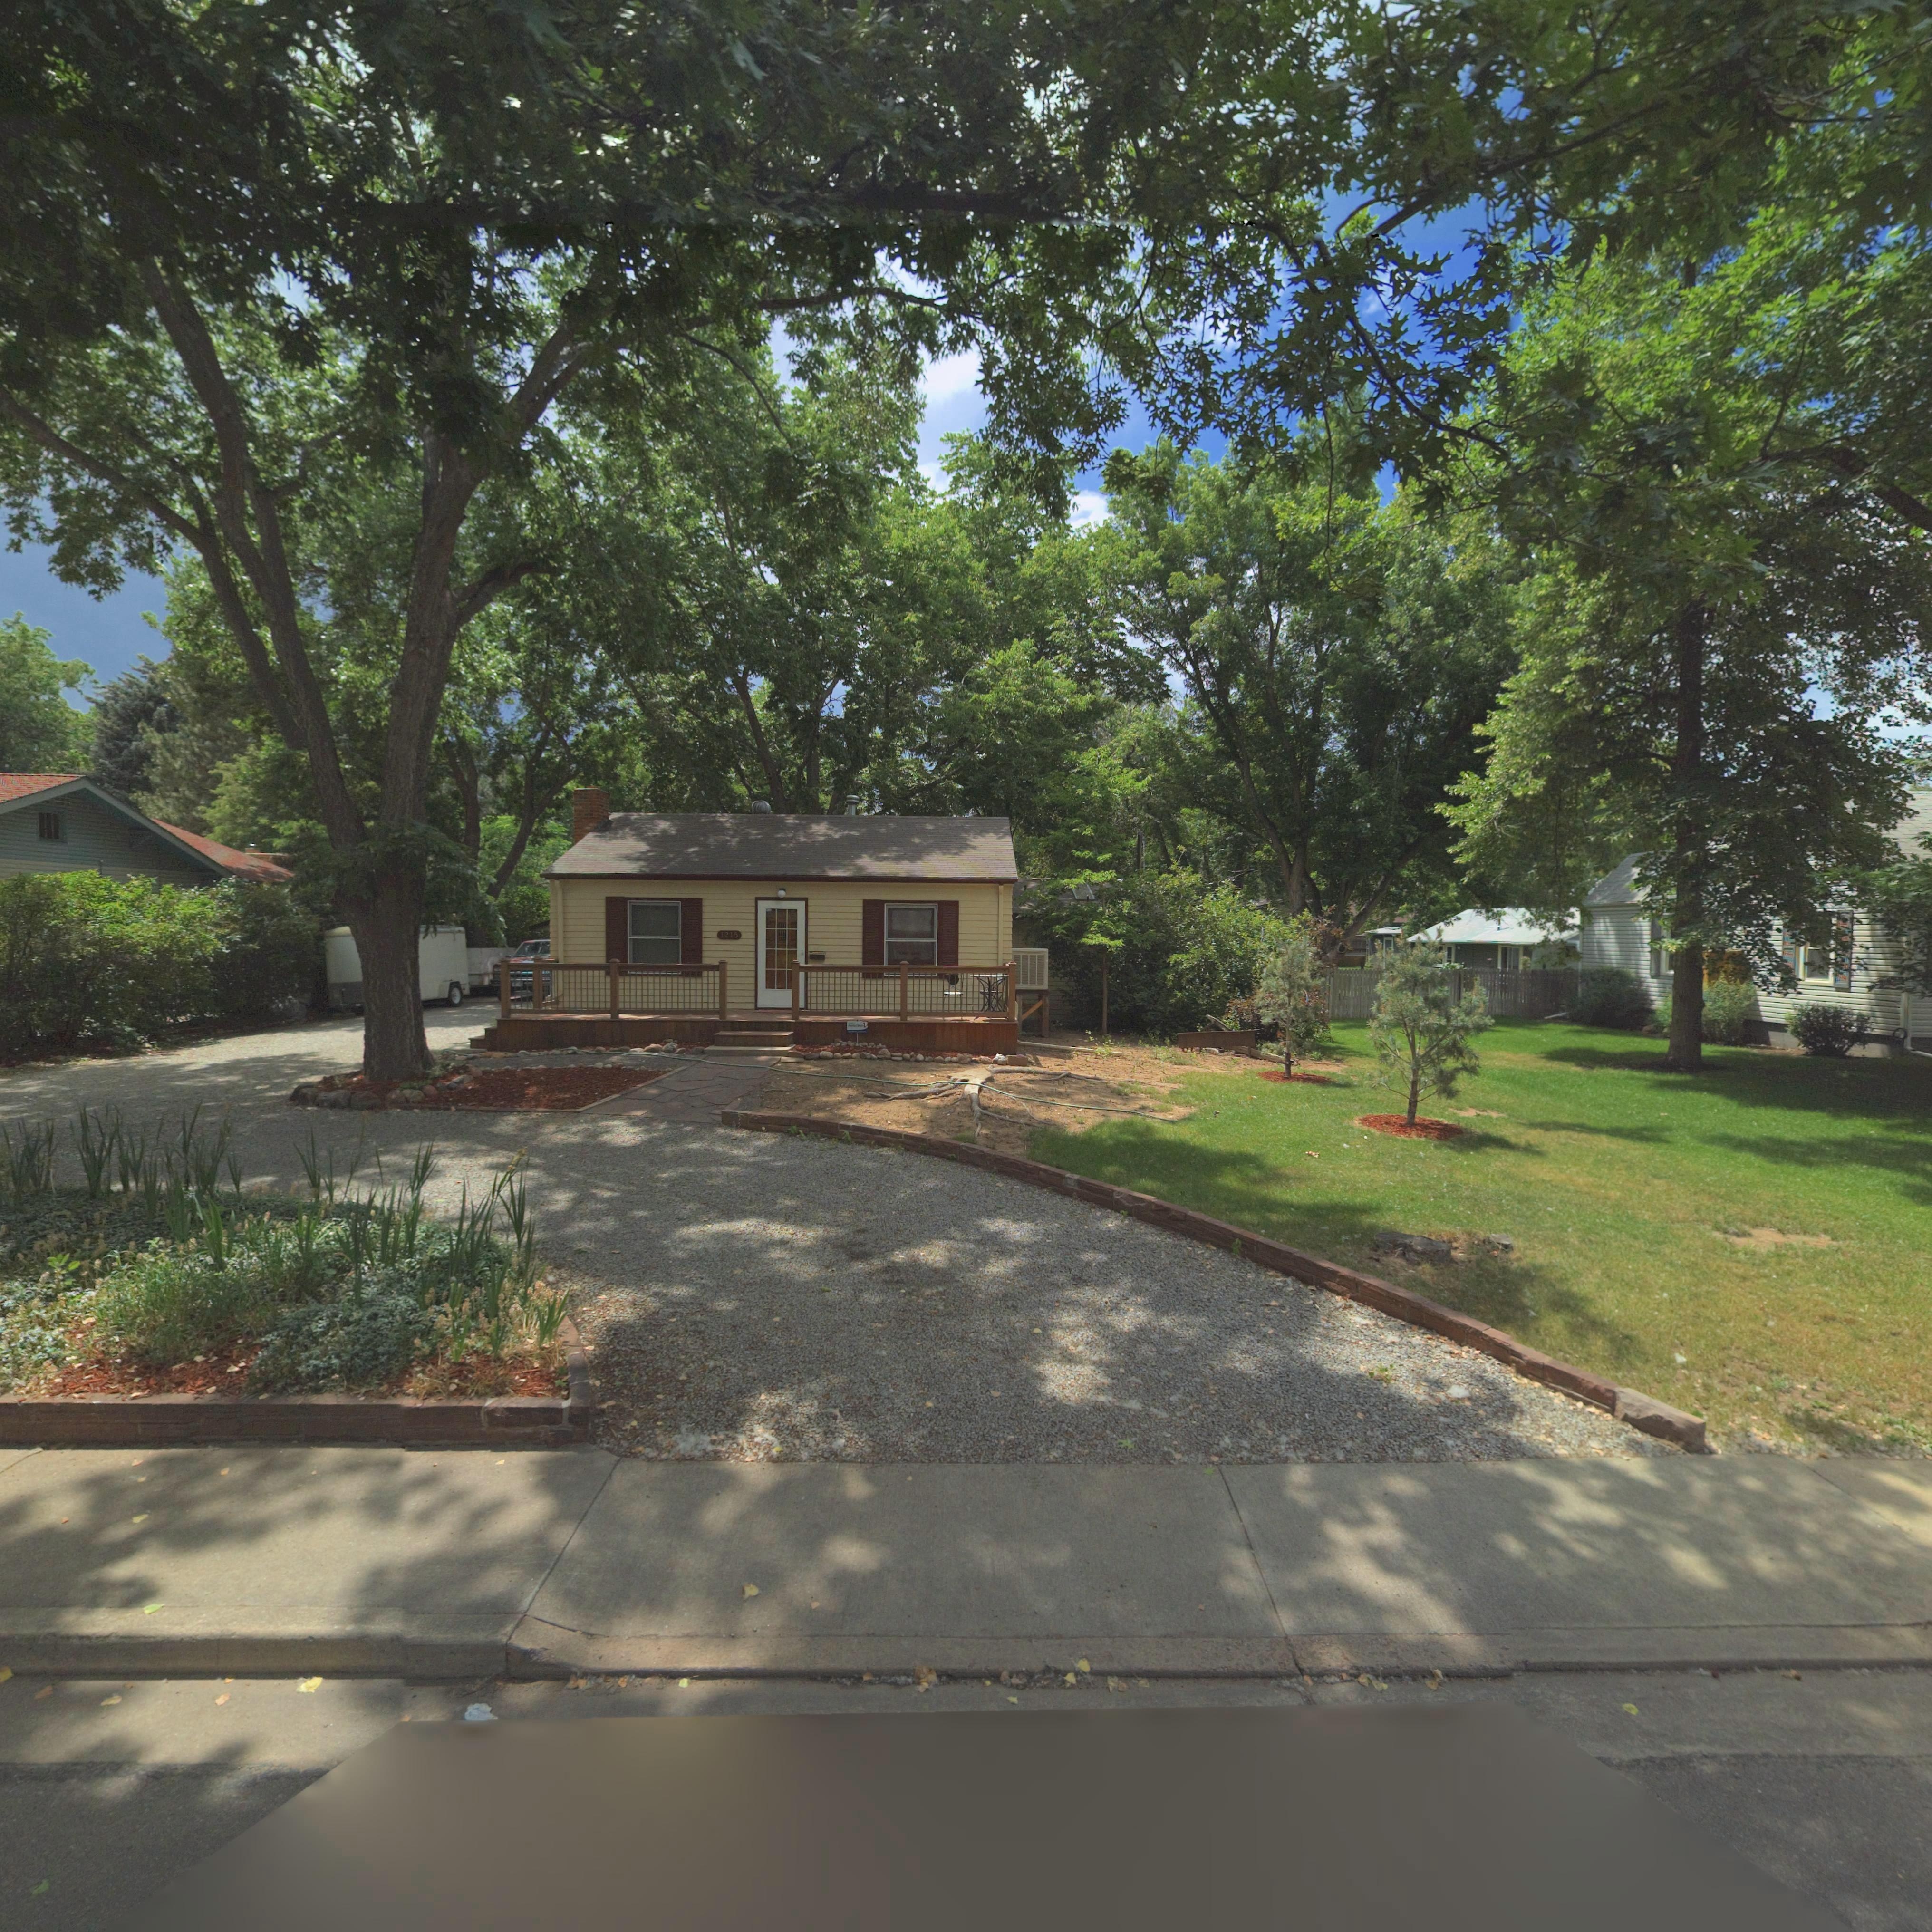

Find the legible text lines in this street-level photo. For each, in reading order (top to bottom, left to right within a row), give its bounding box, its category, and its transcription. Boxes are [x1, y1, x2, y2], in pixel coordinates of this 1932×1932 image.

[721, 931, 738, 938] StreetNumber: 1215